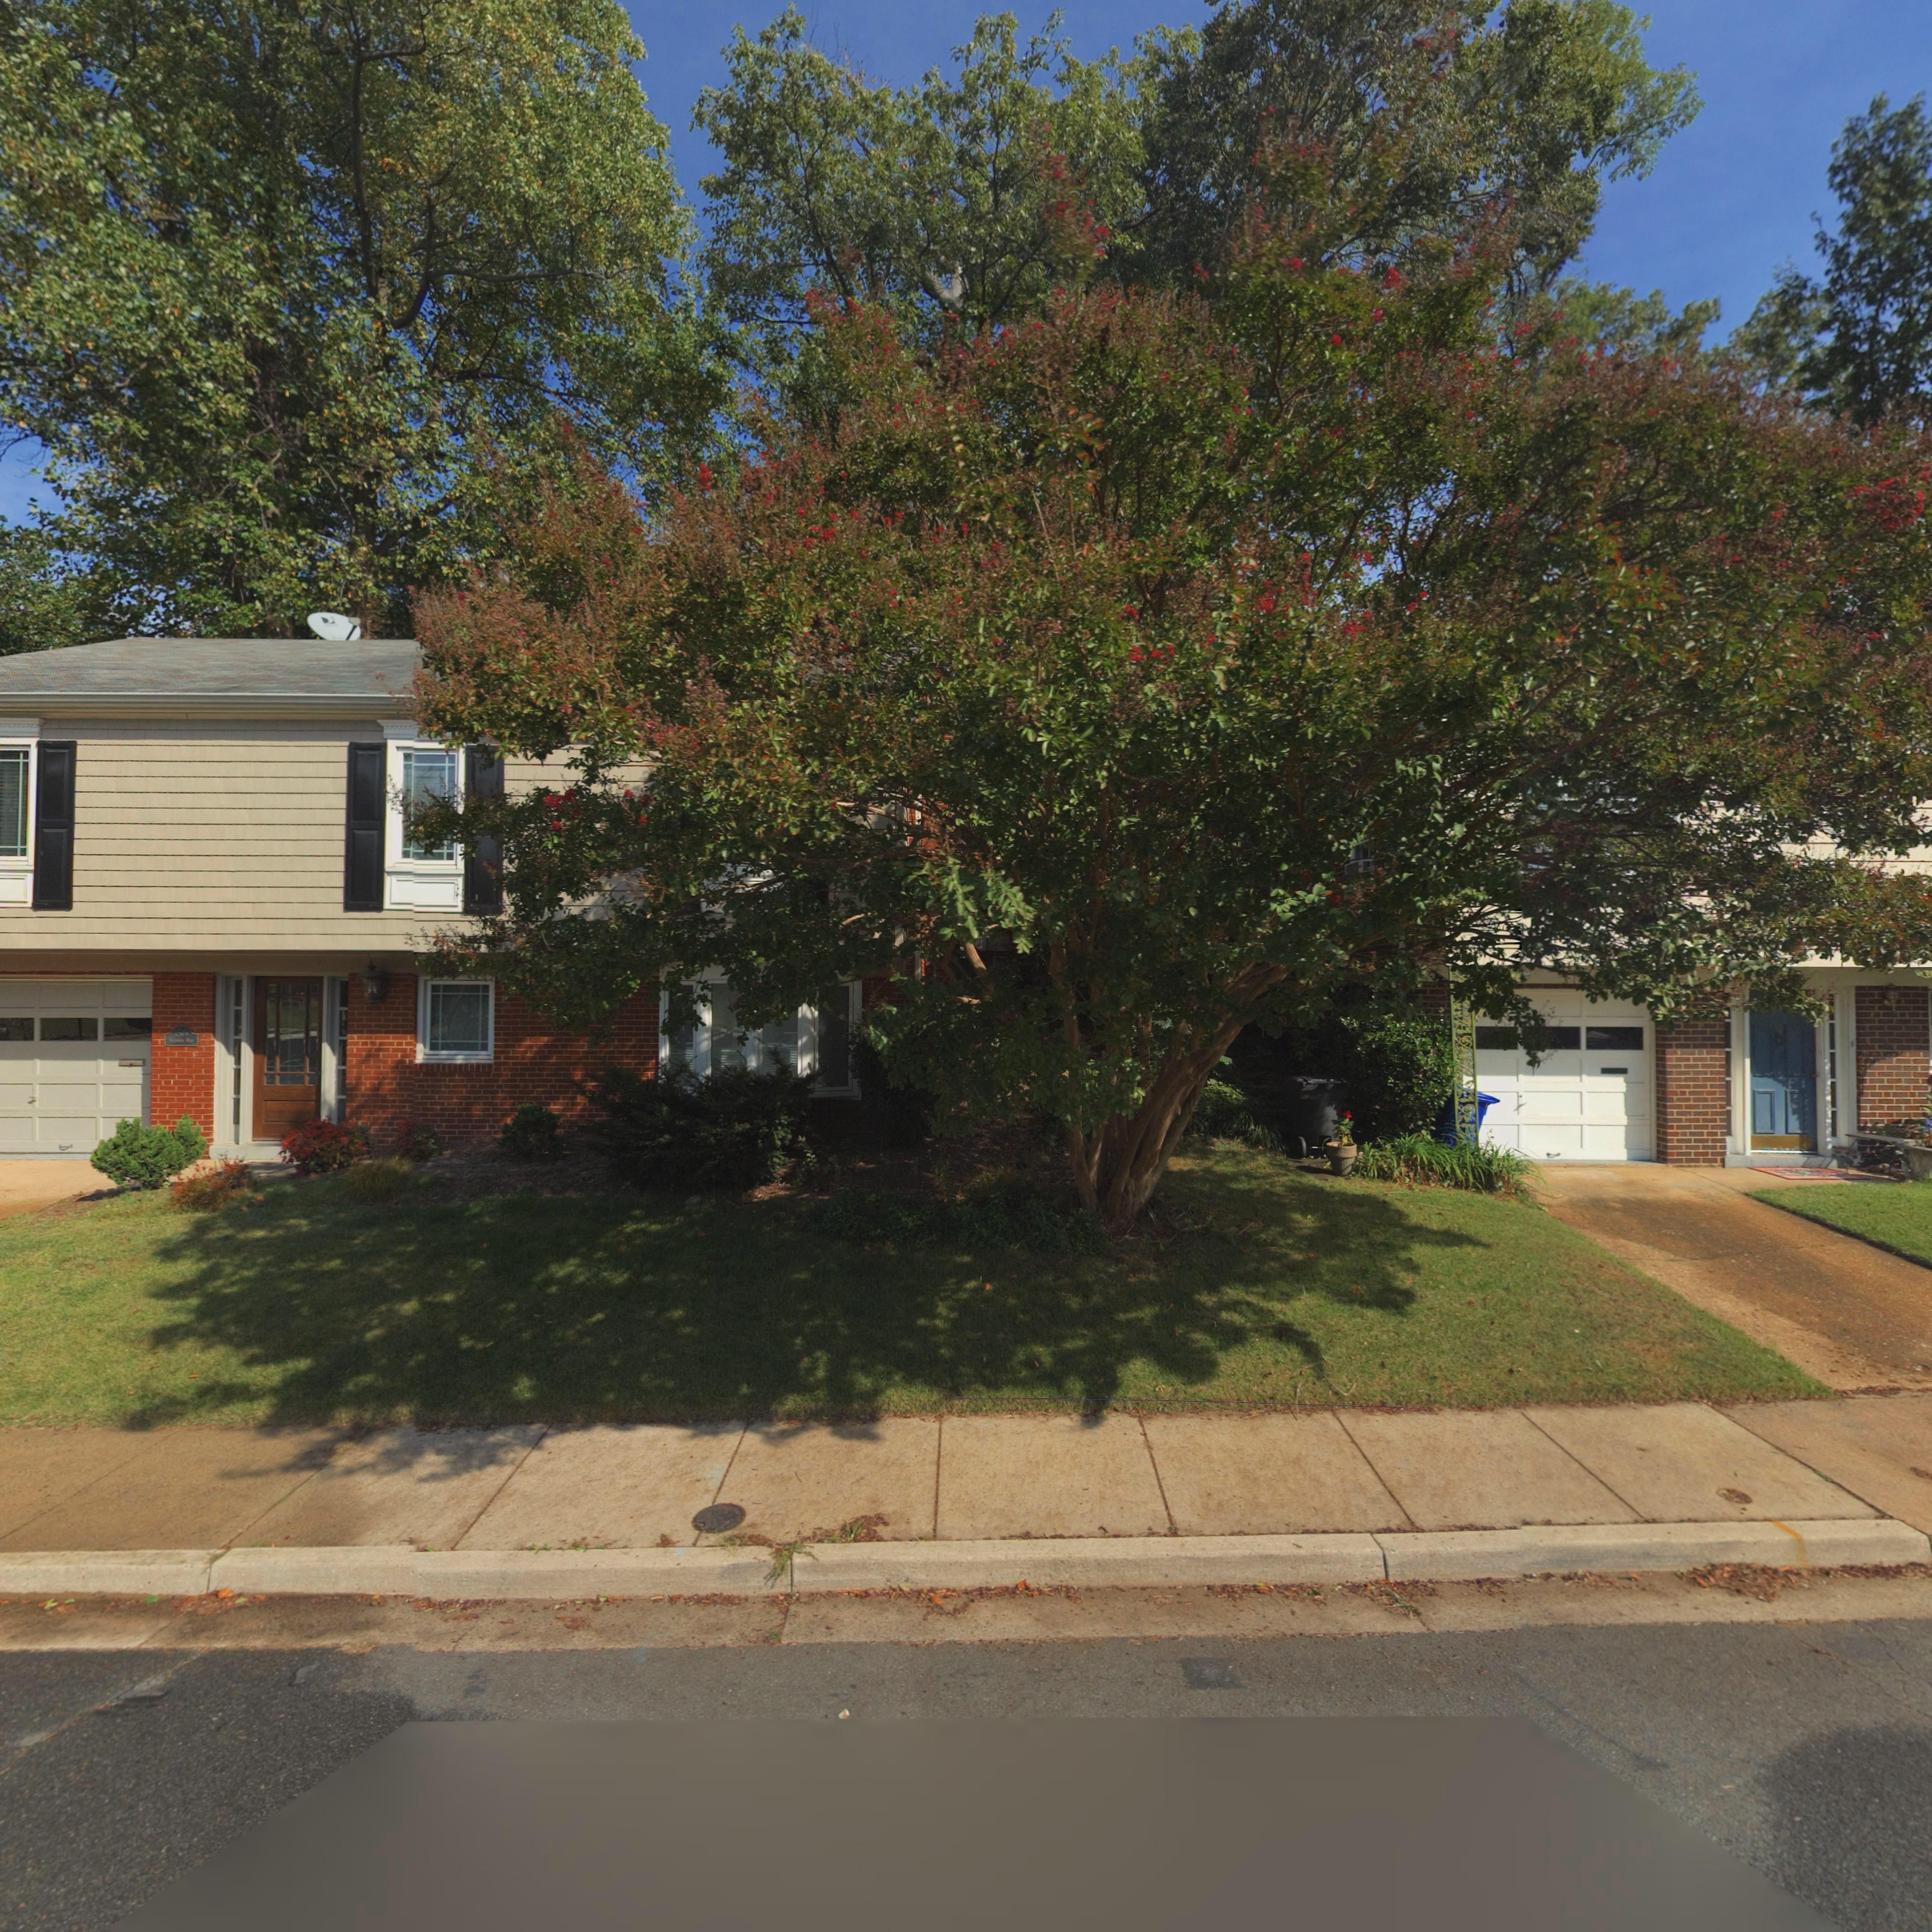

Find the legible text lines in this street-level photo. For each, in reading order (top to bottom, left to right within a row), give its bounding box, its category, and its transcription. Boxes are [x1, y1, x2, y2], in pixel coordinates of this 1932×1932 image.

[174, 1029, 190, 1037] StreetNumber: 15**